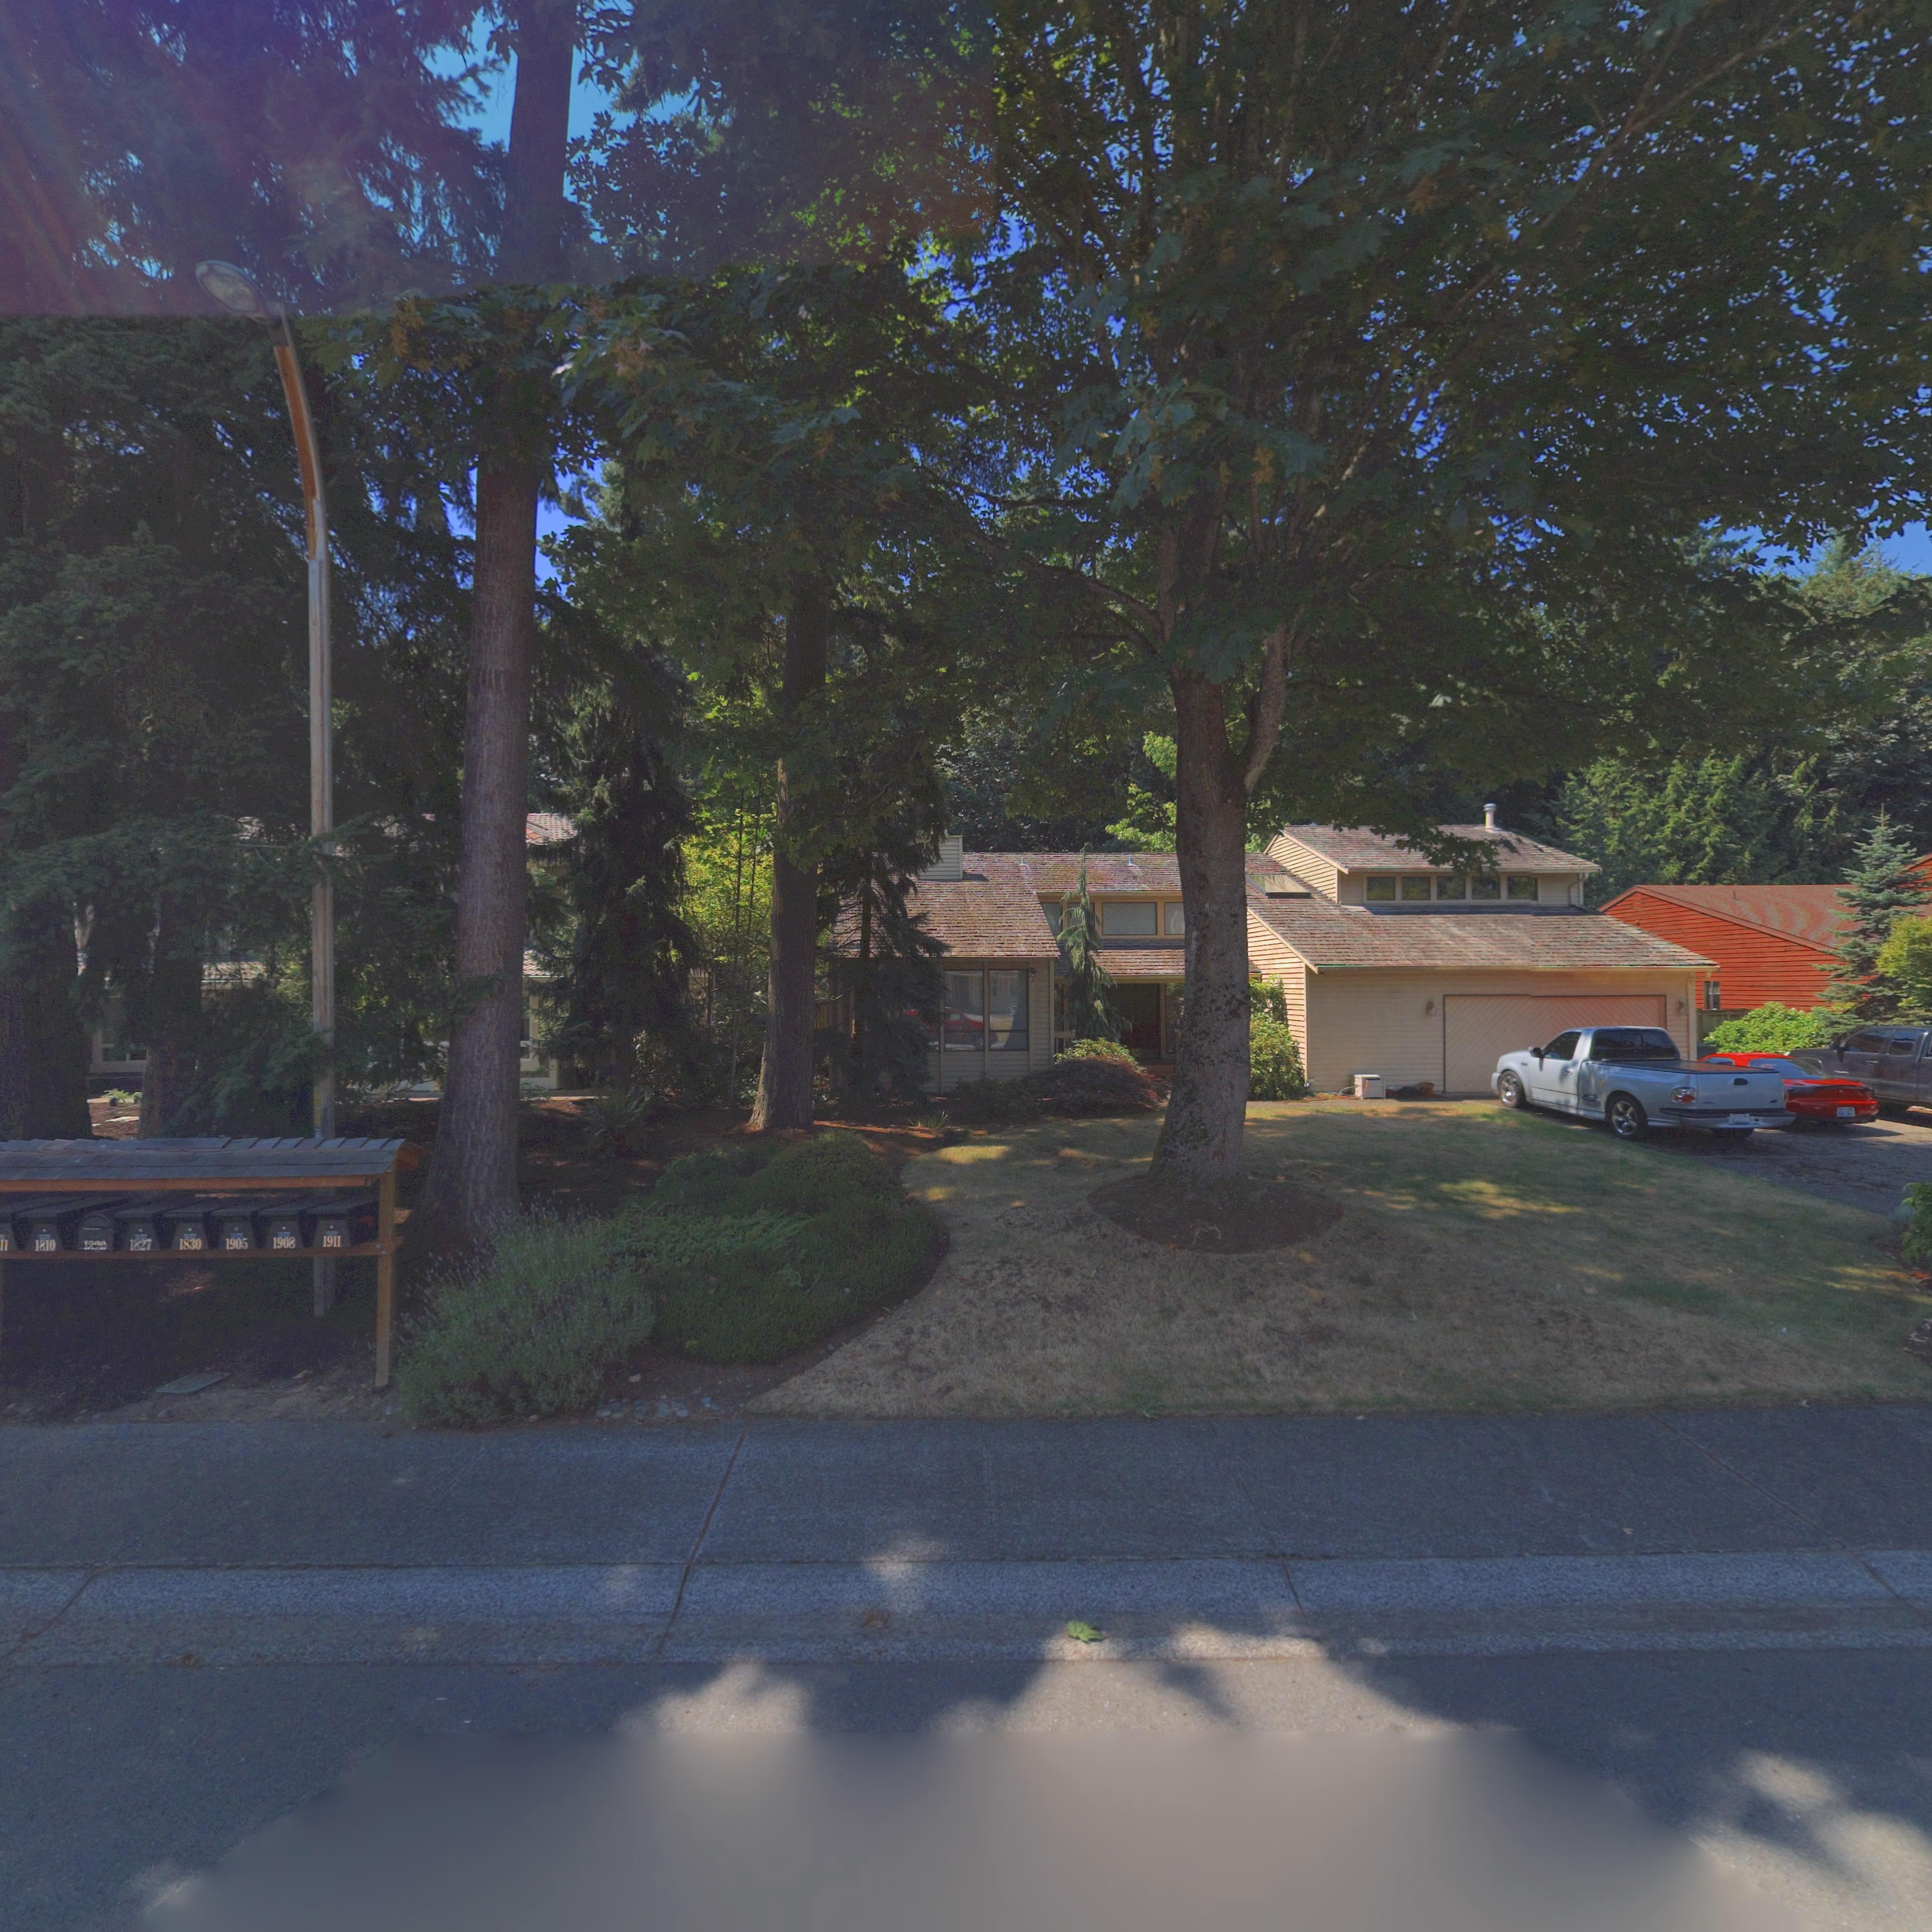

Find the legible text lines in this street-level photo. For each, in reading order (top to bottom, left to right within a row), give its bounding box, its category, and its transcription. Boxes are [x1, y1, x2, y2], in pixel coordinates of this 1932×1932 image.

[0, 1238, 10, 1252] StreetNumber: 11
[35, 1238, 56, 1251] StreetNumber: 1810
[179, 1237, 202, 1250] StreetNumber: 1830
[225, 1236, 248, 1250] StreetNumber: 1905